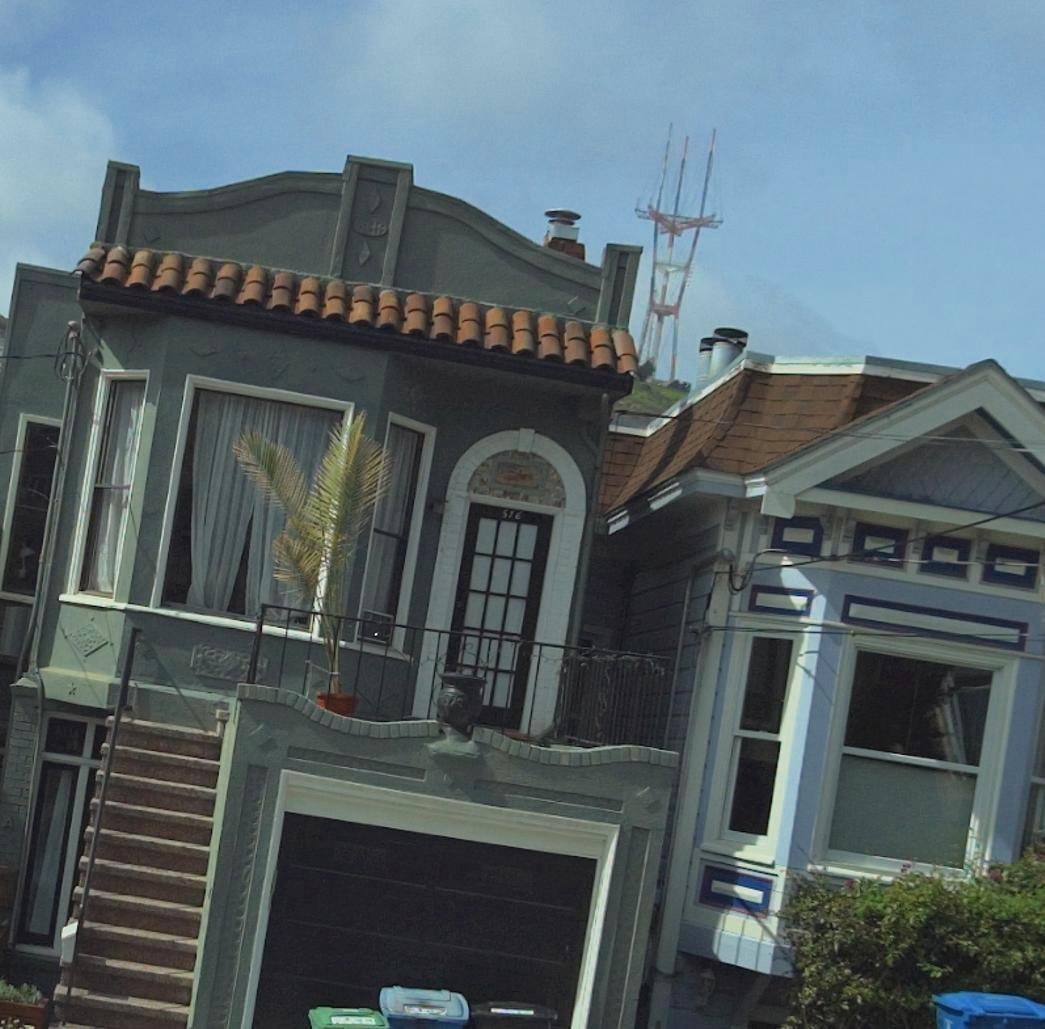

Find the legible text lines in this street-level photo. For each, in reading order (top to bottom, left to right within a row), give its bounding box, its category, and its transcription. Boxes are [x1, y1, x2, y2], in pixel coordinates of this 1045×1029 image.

[499, 508, 525, 521] StreetNumber: 5*6